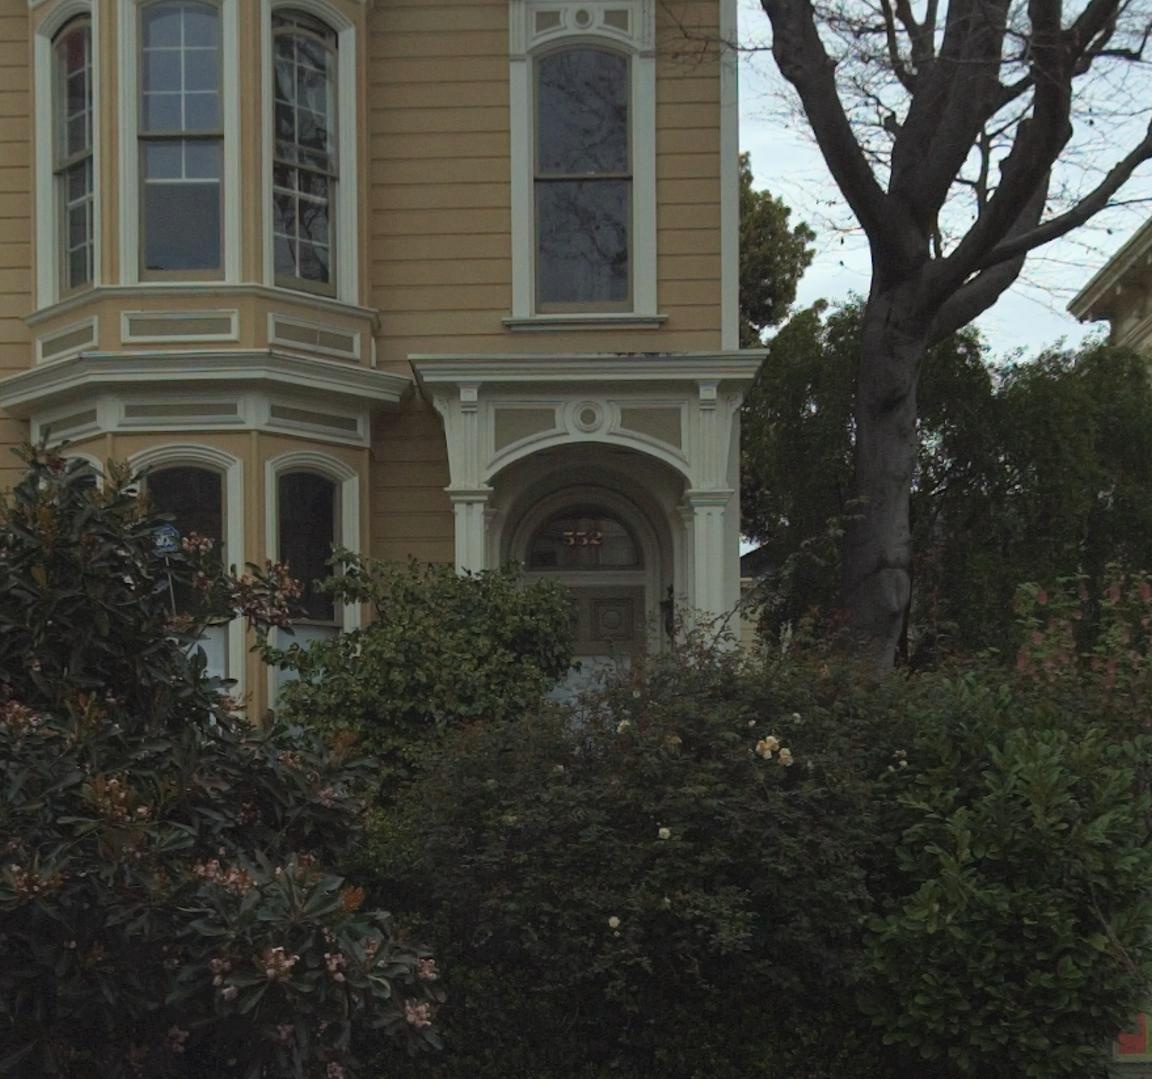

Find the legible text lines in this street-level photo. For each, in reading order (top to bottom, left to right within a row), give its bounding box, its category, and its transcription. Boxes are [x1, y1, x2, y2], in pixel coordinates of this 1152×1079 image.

[561, 530, 603, 547] StreetNumber: 552